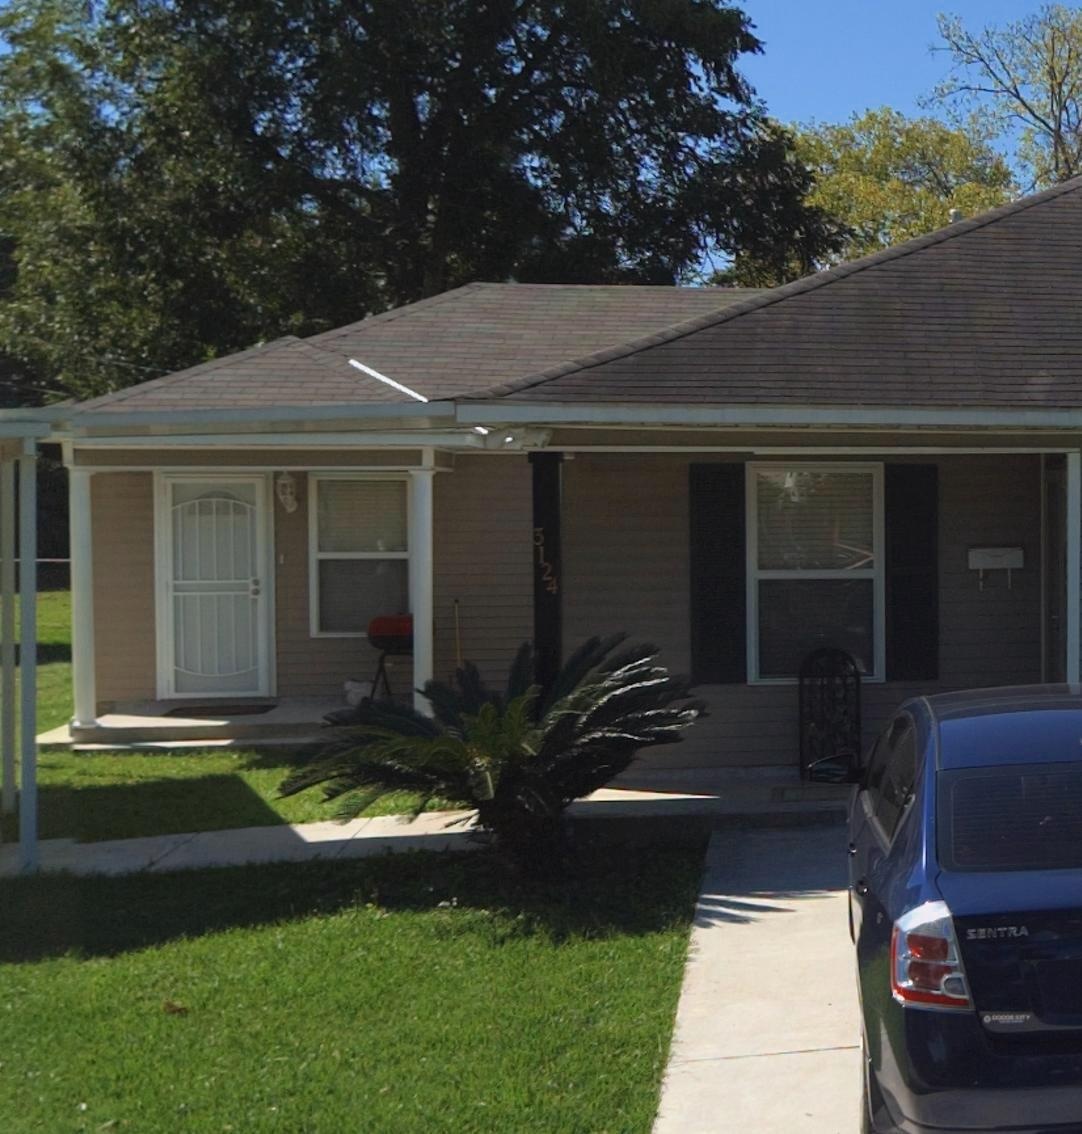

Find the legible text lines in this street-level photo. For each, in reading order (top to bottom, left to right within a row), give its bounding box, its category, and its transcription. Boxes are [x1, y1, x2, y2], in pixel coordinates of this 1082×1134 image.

[532, 526, 559, 596] StreetNumber: 3124
[964, 924, 1032, 941] None: SENTRA